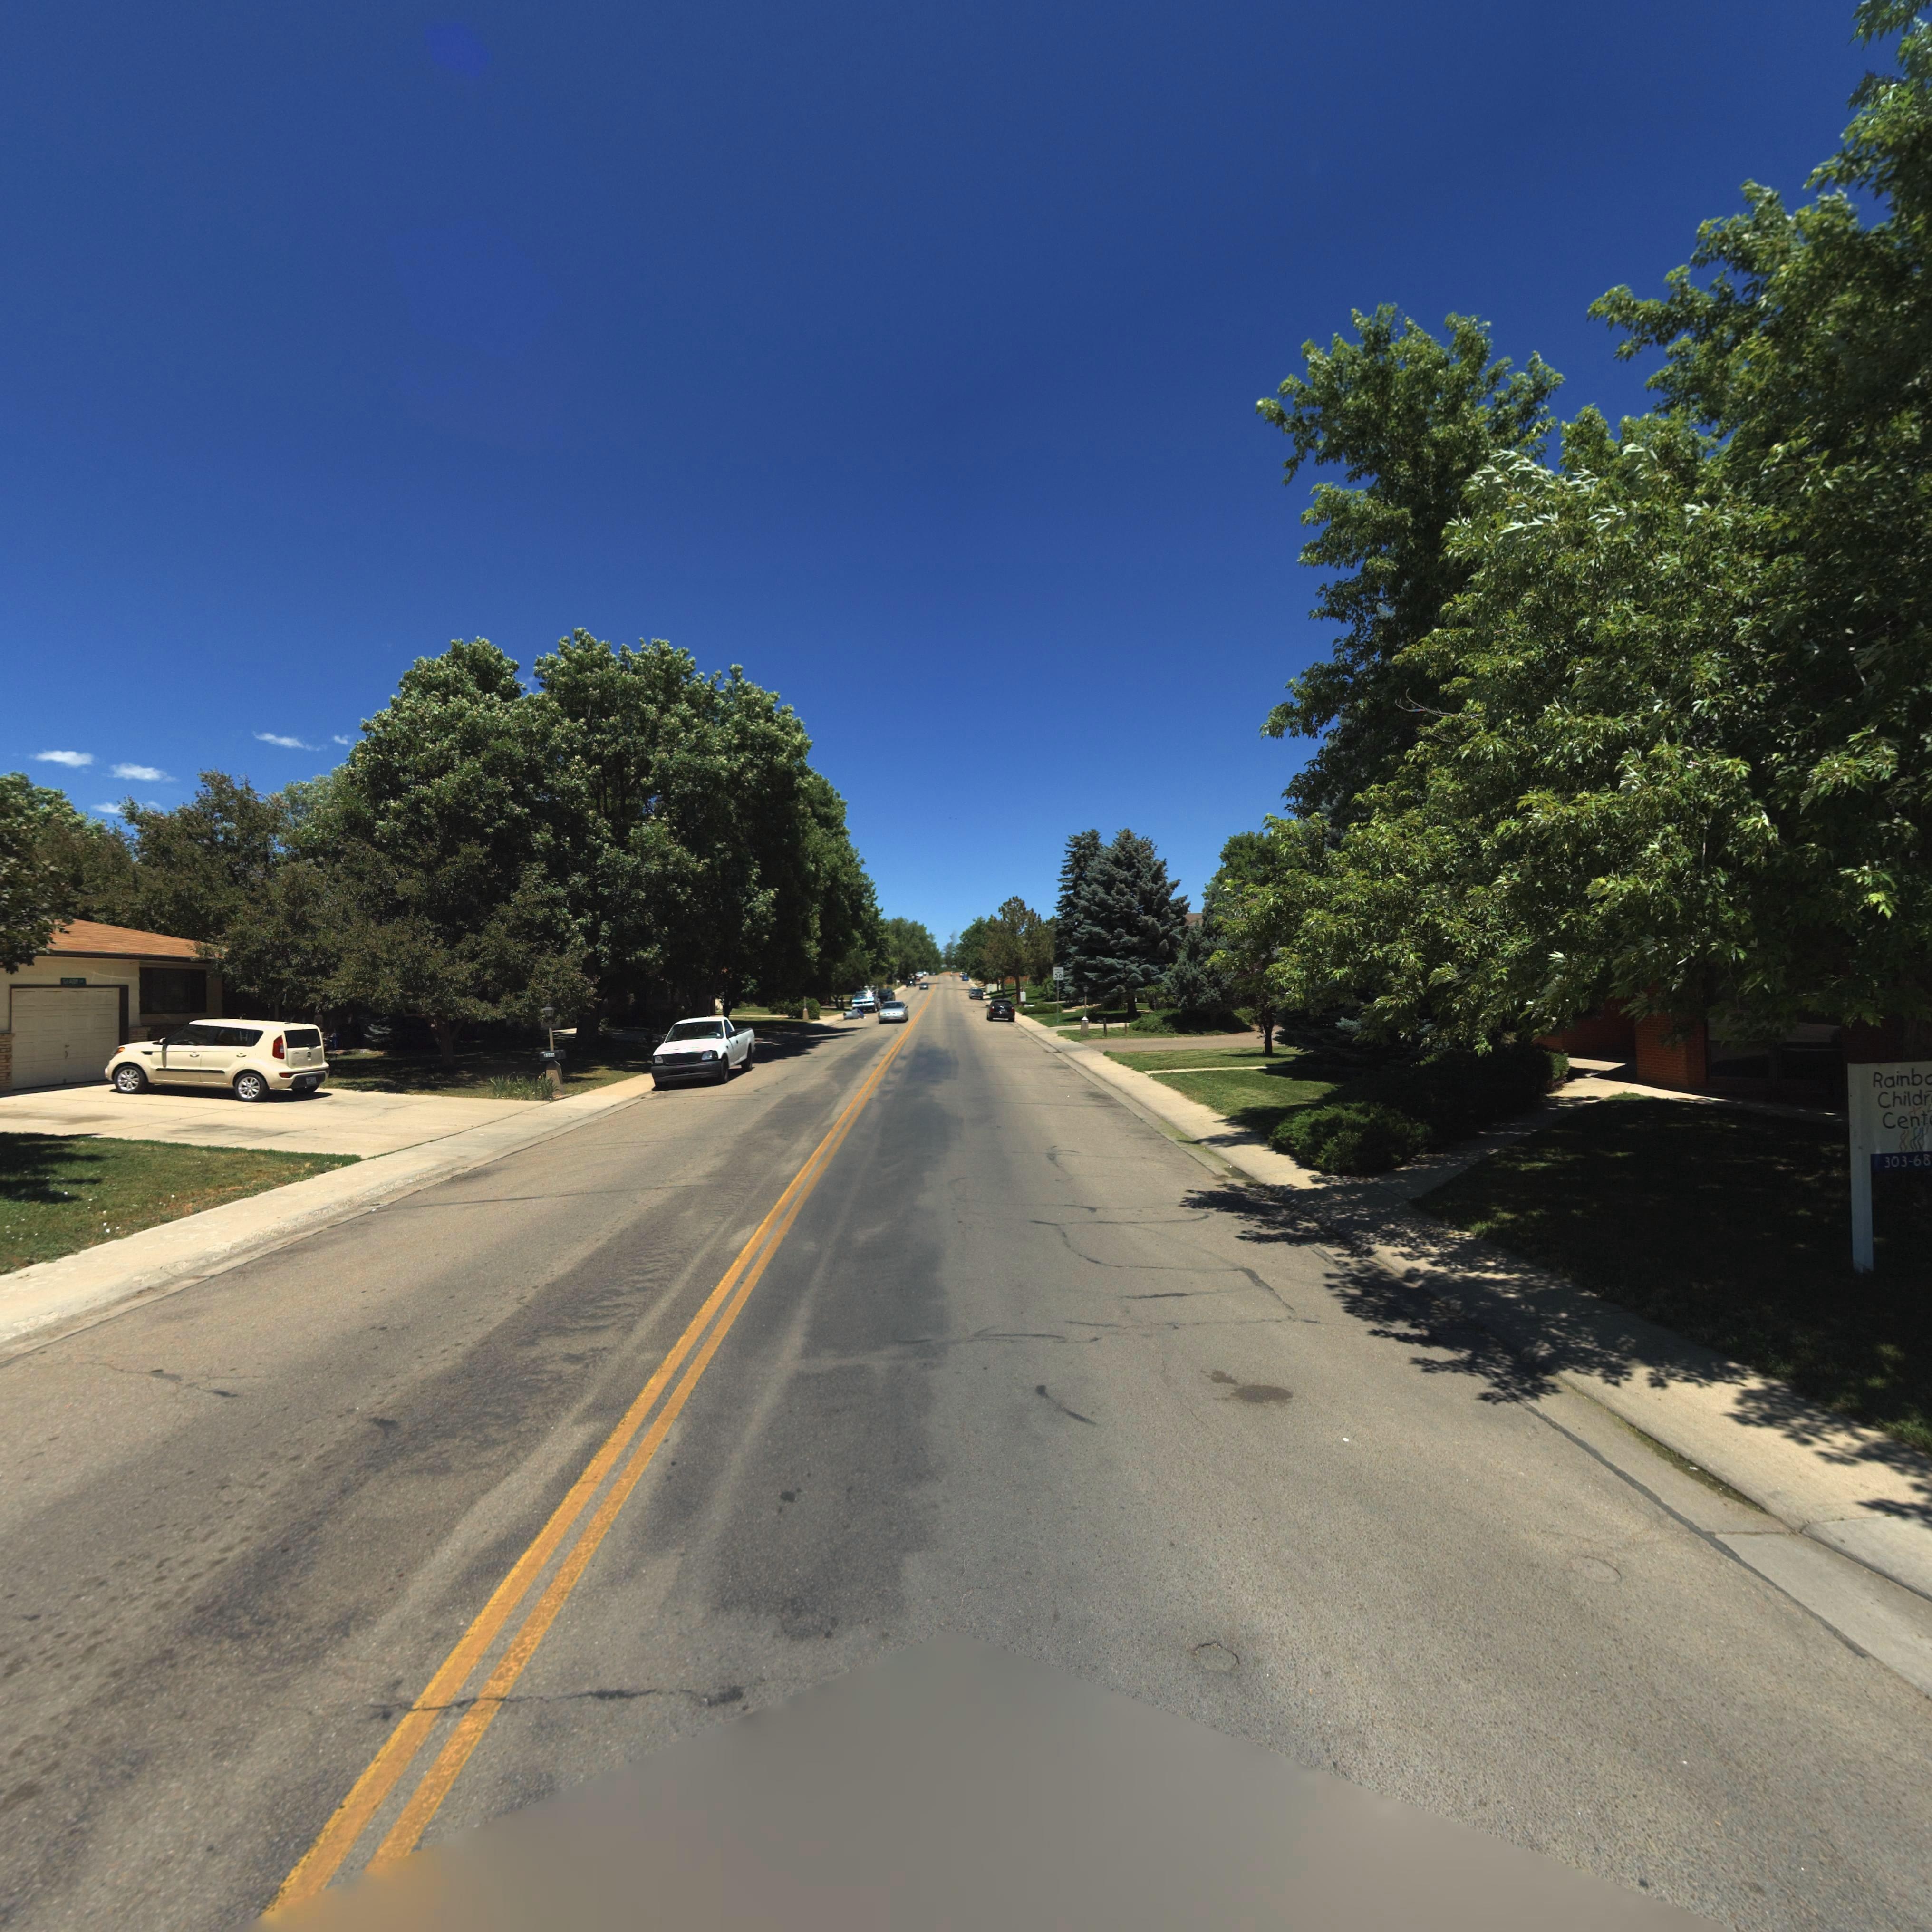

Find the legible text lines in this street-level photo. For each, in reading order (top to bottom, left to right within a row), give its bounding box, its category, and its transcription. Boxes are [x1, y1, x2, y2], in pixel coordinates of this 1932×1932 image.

[544, 1053, 554, 1057] StreetNumber: 2101
[1871, 1066, 1924, 1089] BusinessName: Rainb
[1874, 1088, 1931, 1108] BusinessName: Childr
[1879, 1109, 1929, 1131] BusinessName: Cent